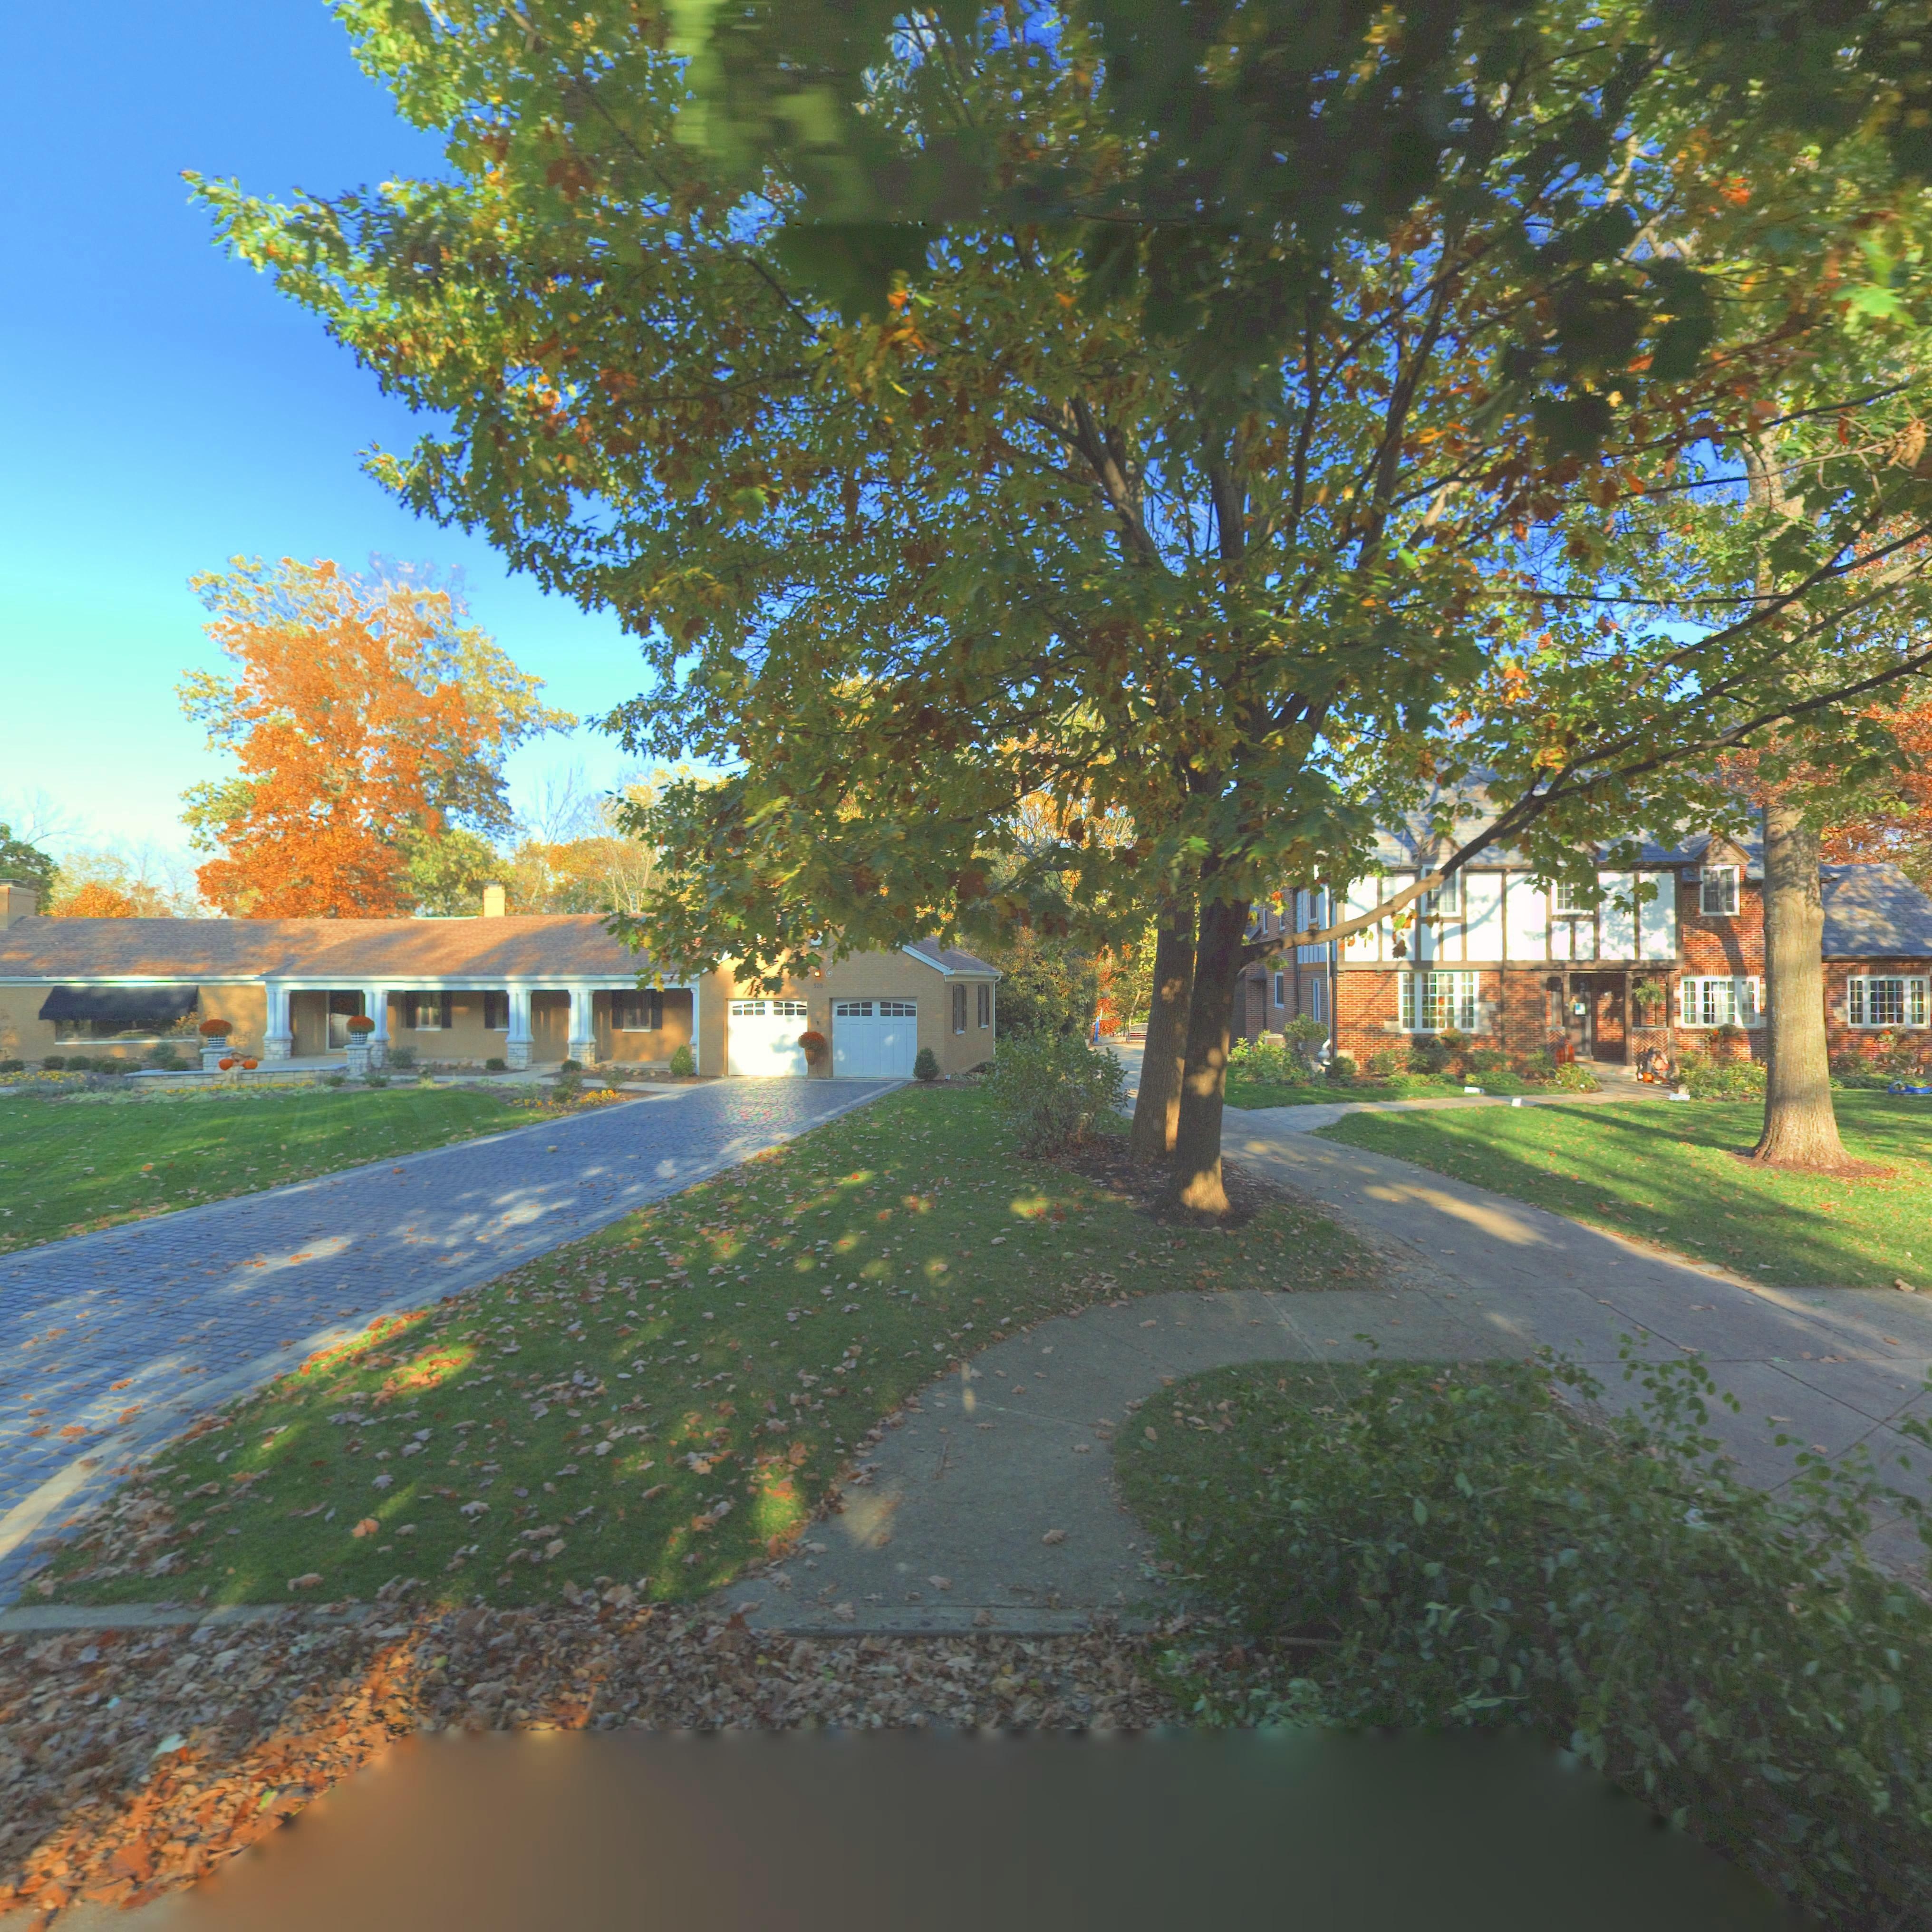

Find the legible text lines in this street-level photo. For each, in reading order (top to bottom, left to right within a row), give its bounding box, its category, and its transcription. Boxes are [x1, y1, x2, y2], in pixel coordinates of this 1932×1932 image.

[812, 982, 824, 989] StreetNumber: 320